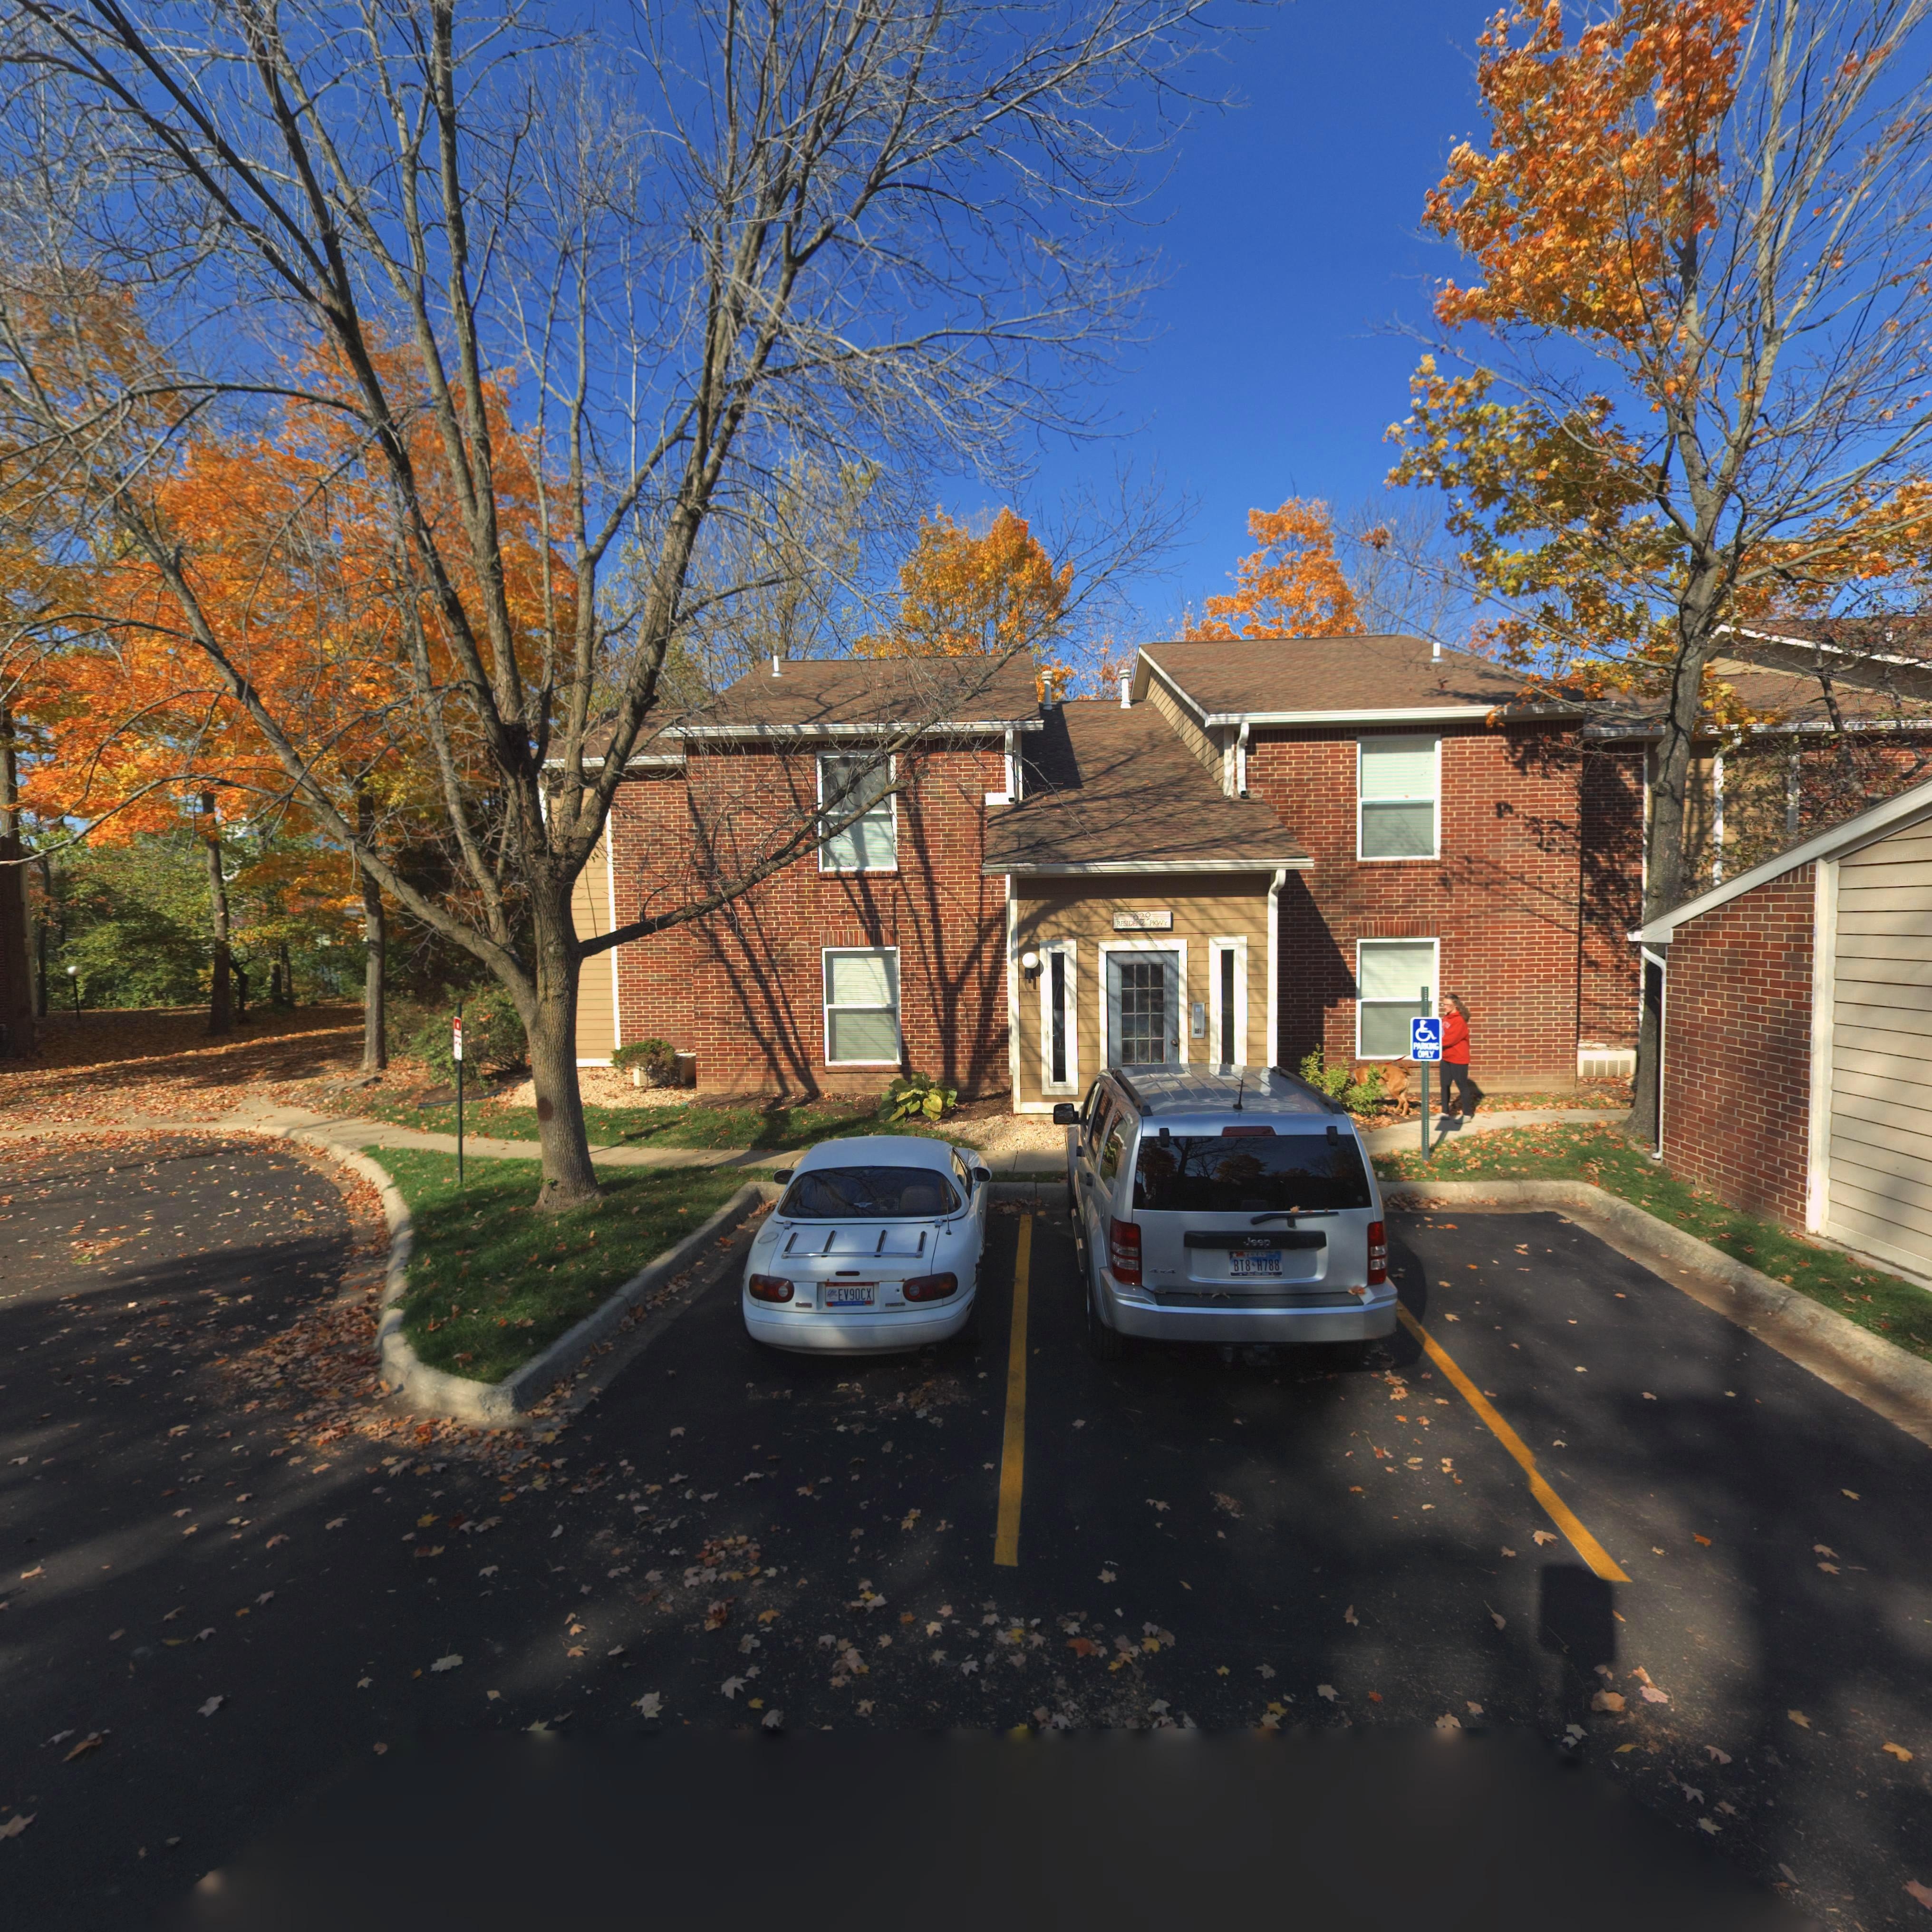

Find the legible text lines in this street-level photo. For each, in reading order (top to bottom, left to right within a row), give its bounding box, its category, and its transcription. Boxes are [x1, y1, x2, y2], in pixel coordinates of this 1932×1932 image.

[1132, 911, 1152, 921] StreetNumber: 629
[1115, 919, 1169, 927] StreetName: RESID**Z PKWY